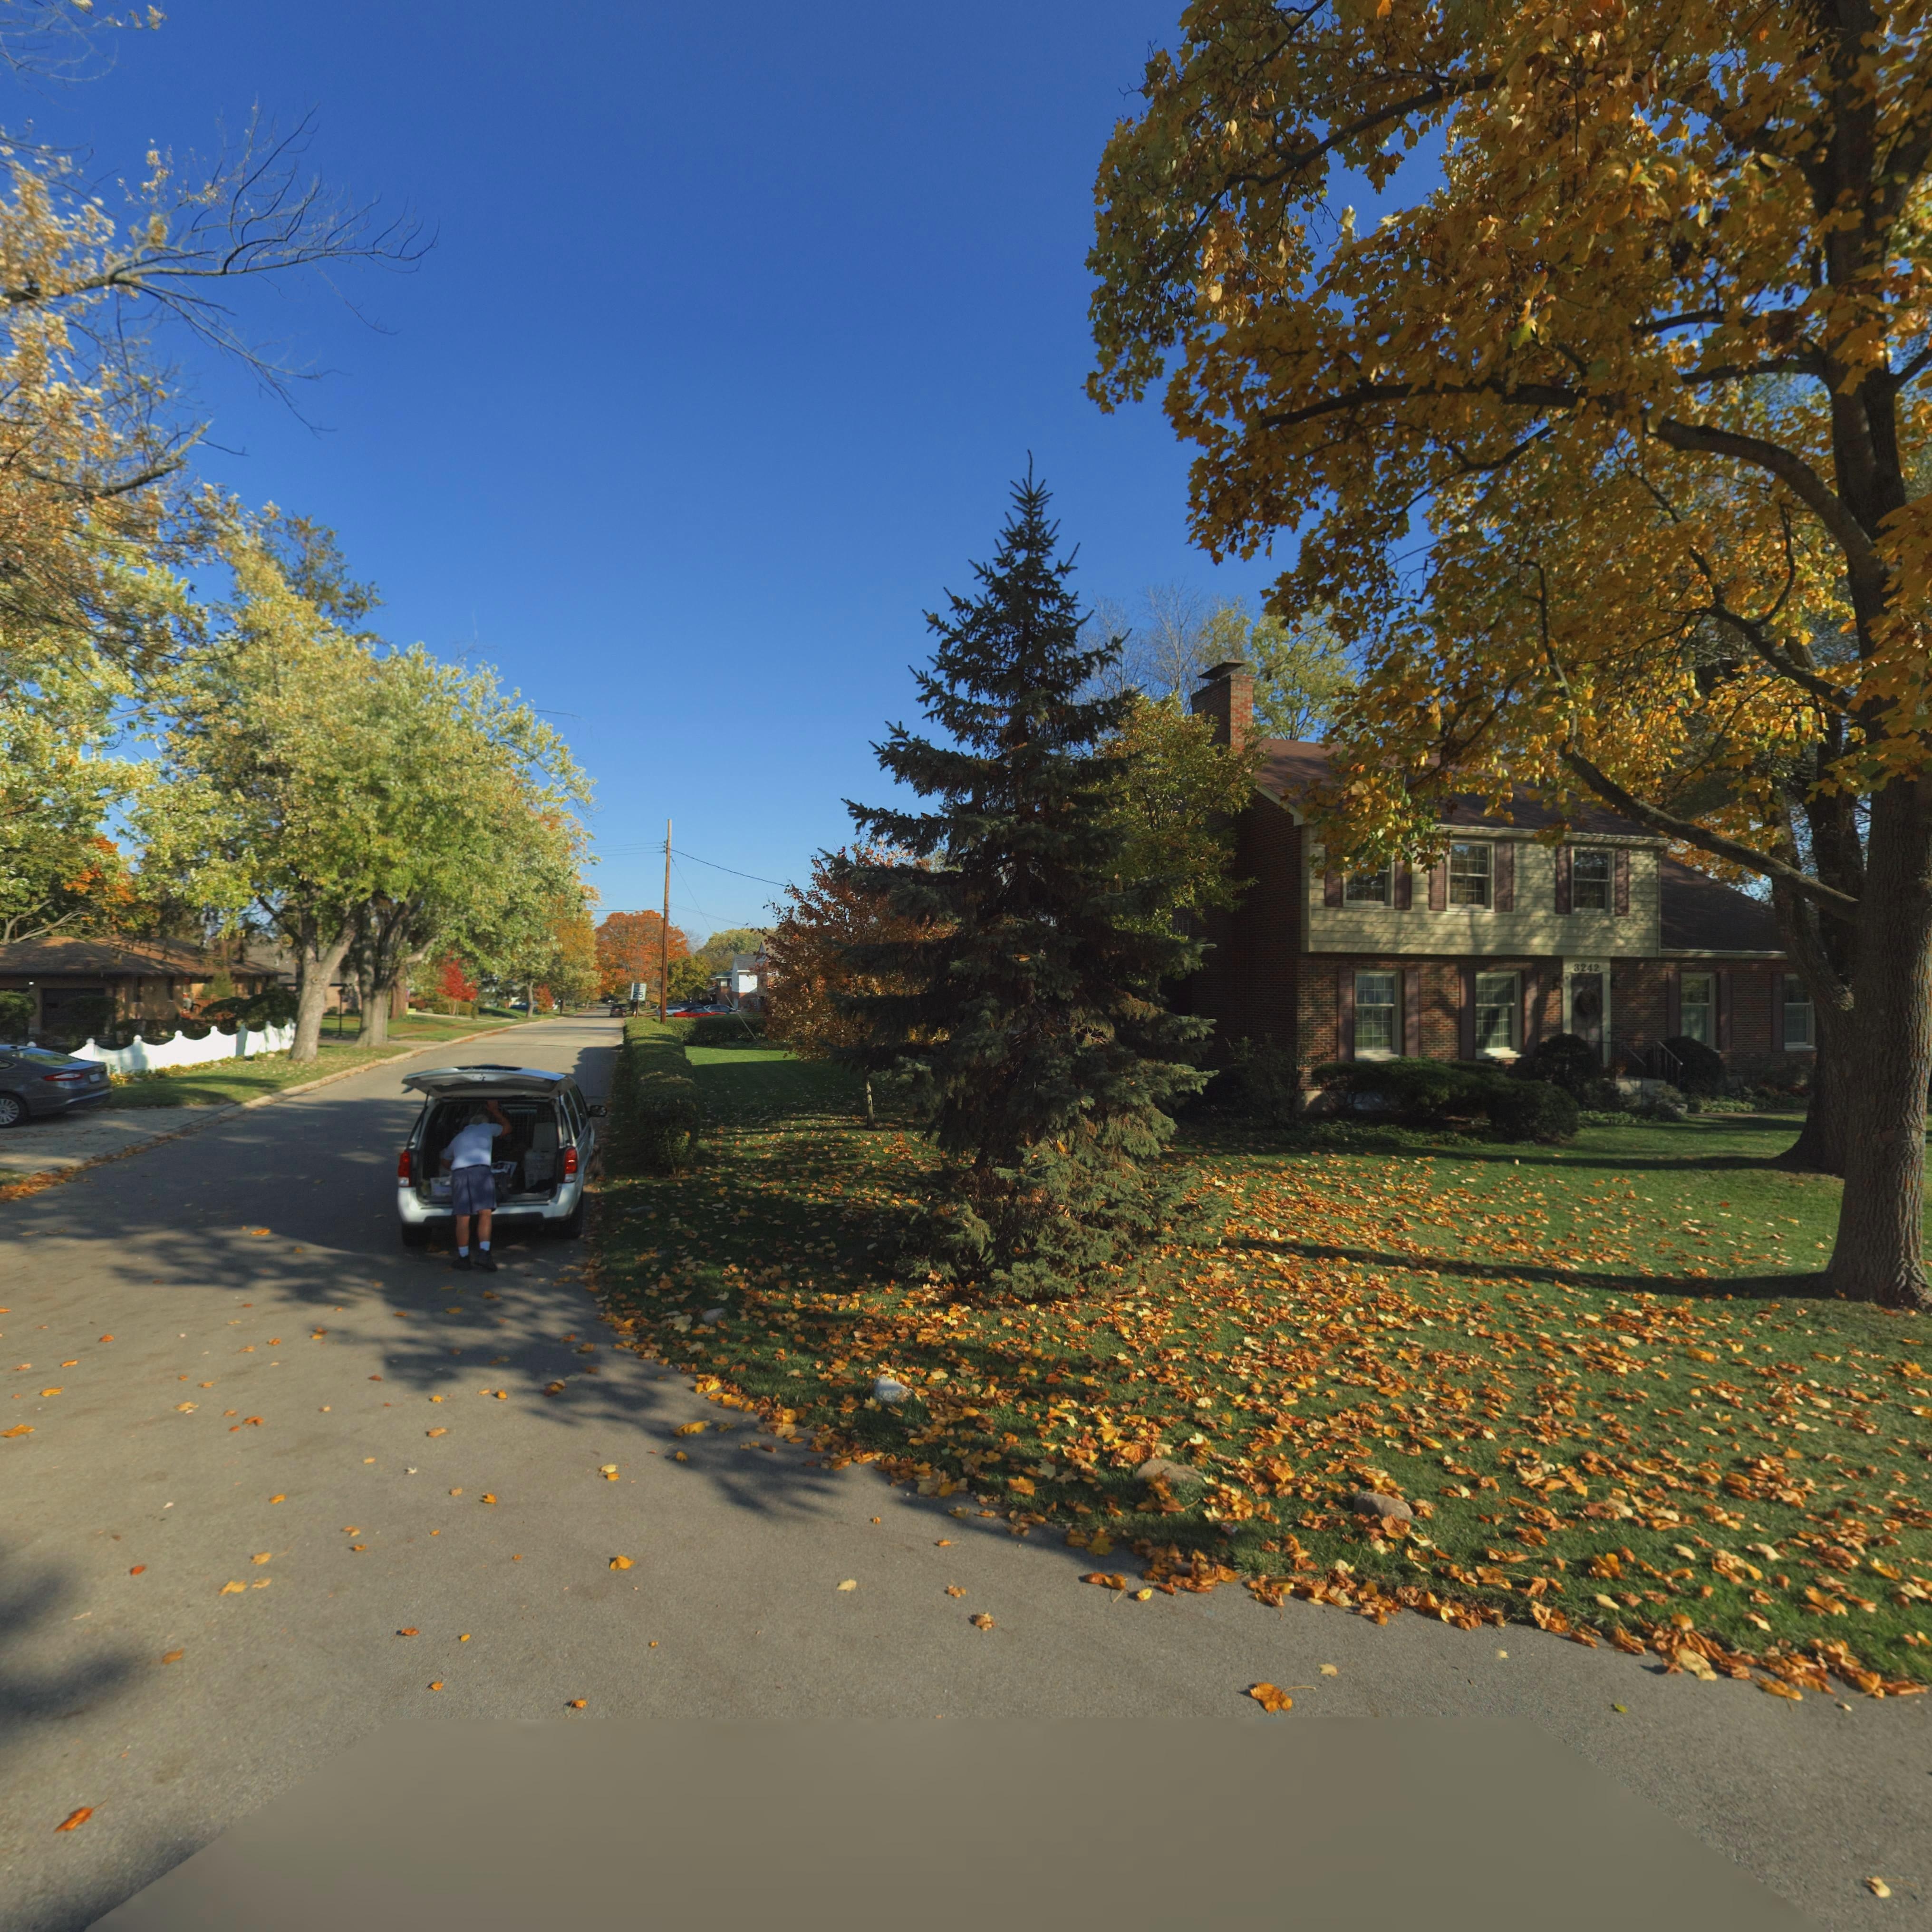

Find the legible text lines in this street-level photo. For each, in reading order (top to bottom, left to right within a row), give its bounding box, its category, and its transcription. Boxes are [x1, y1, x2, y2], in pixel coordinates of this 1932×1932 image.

[1574, 963, 1600, 972] StreetNumber: 3242